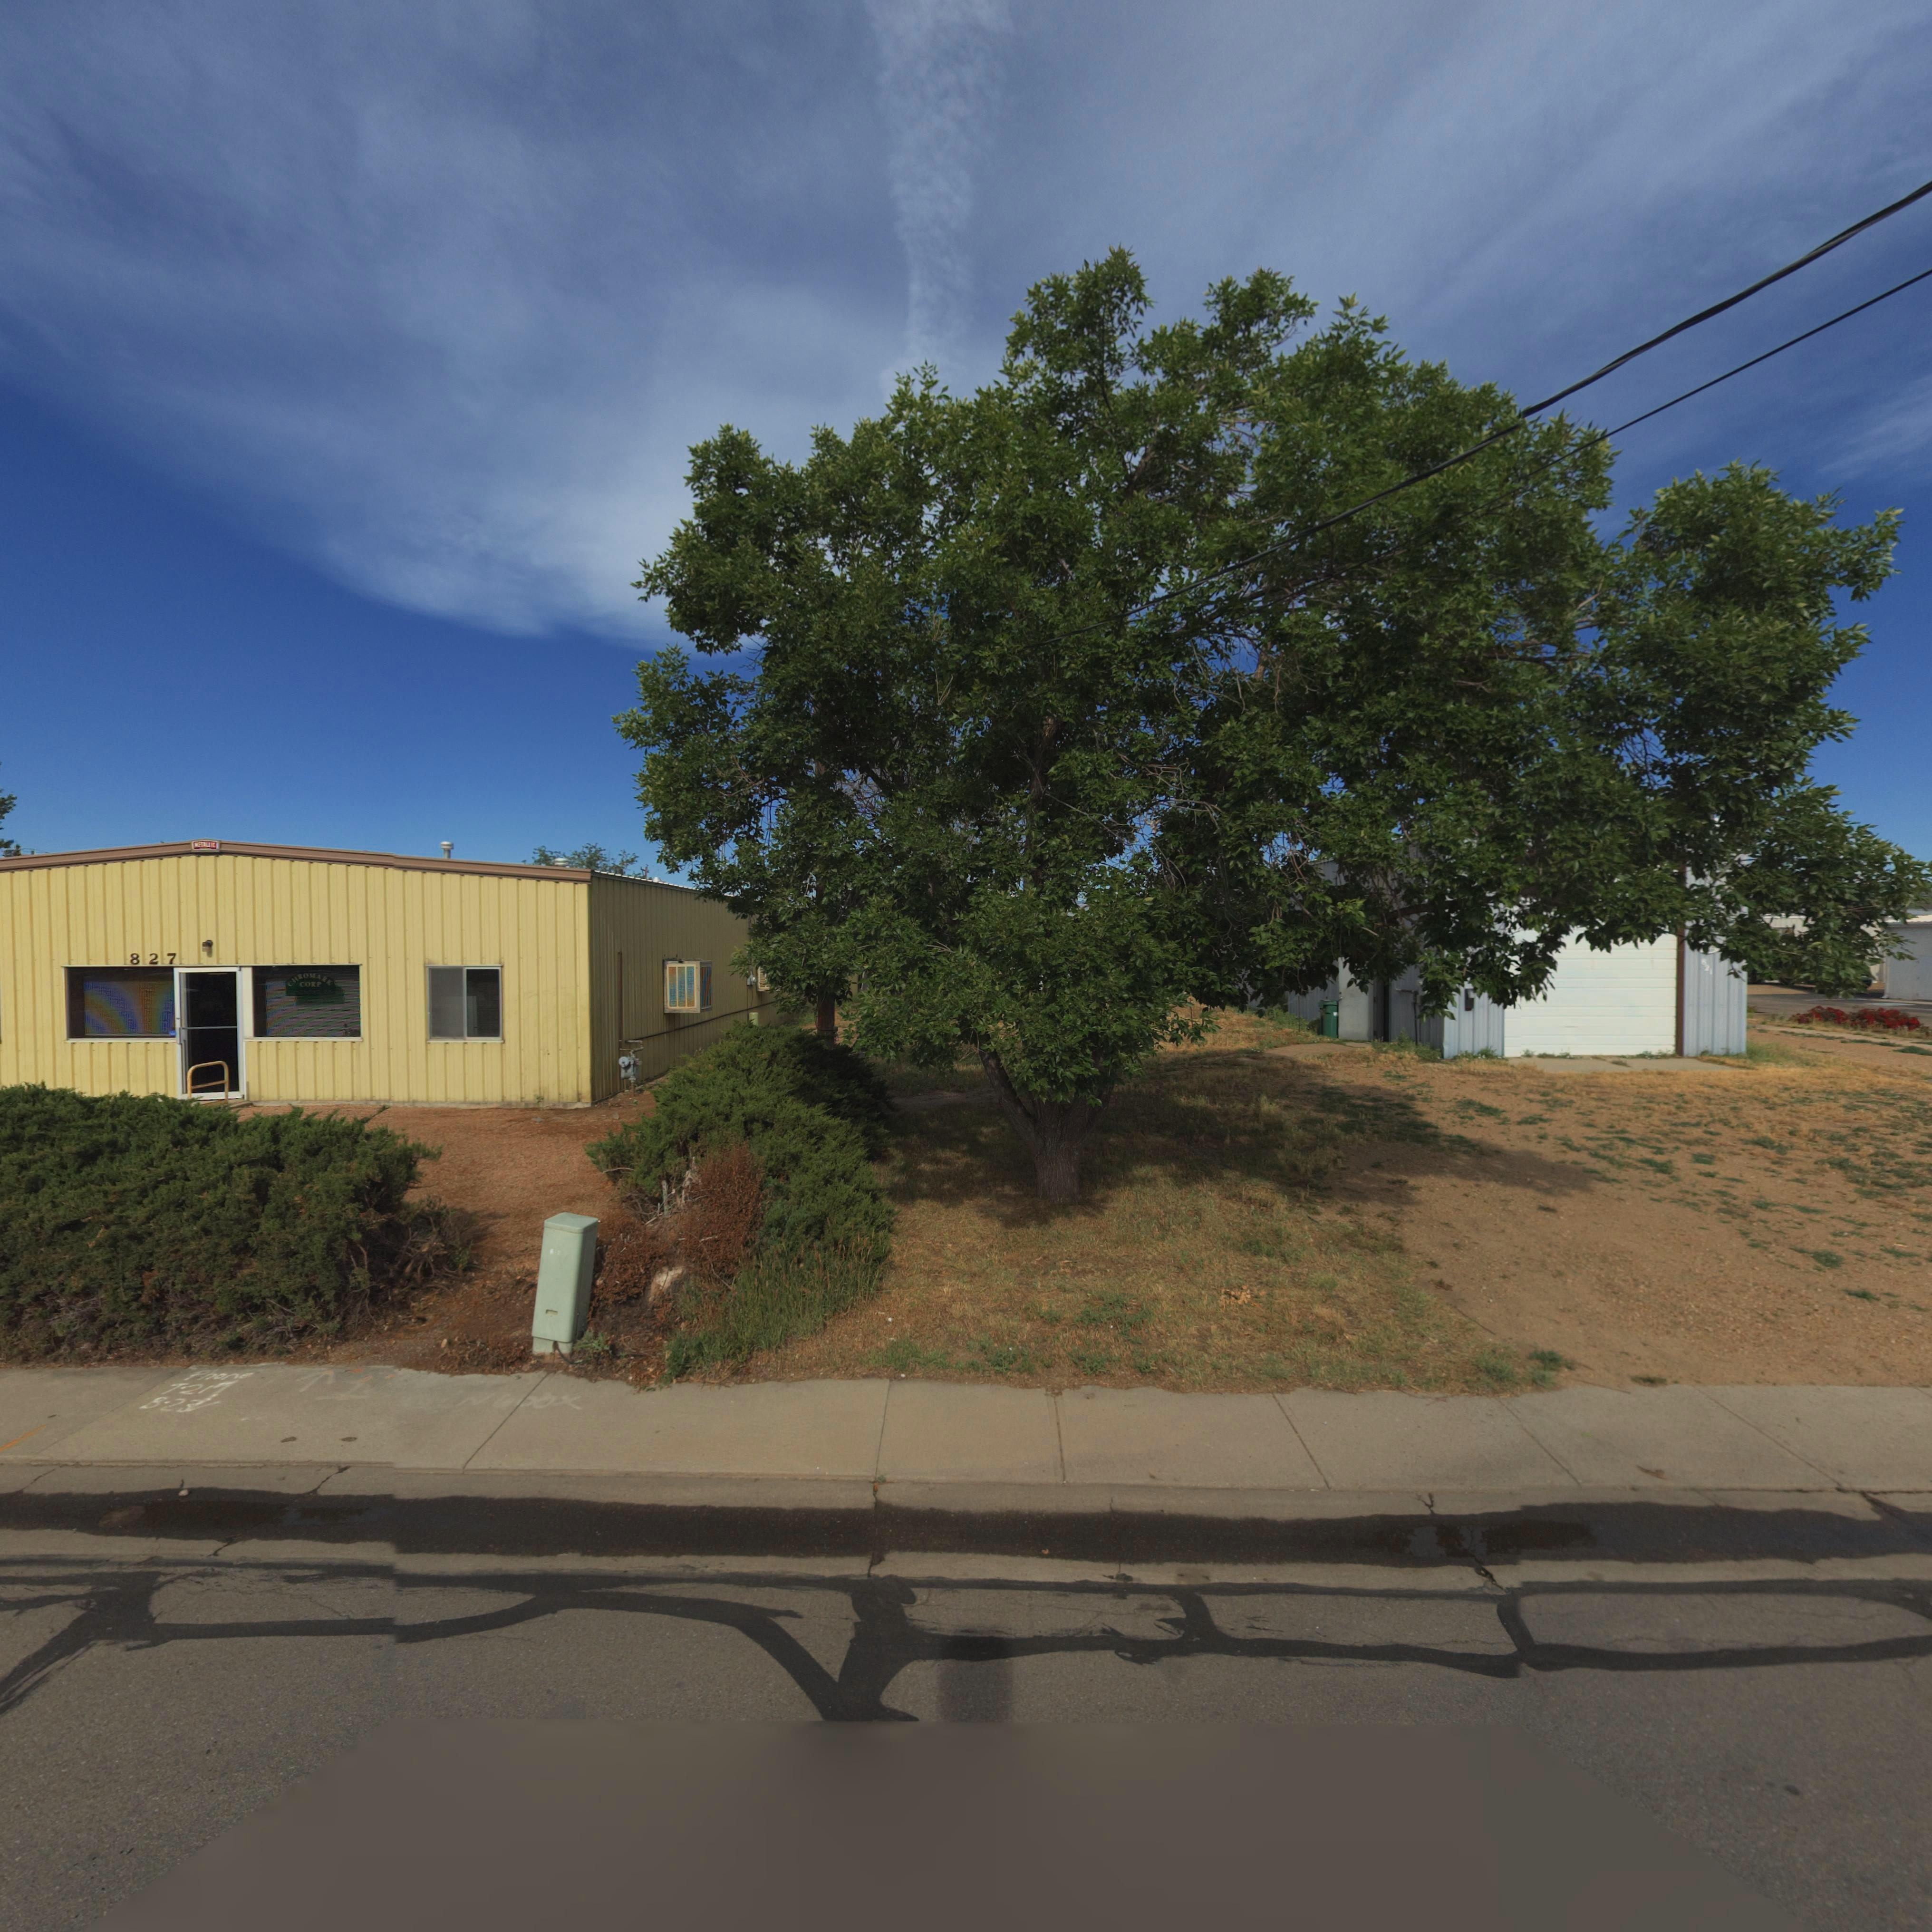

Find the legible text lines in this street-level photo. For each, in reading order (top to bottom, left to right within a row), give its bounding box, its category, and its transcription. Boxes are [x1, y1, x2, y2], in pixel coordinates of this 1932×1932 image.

[129, 951, 177, 966] StreetNumber: 827
[286, 973, 334, 988] BusinessName: CHROMARK
[299, 981, 322, 987] BusinessName: CORP